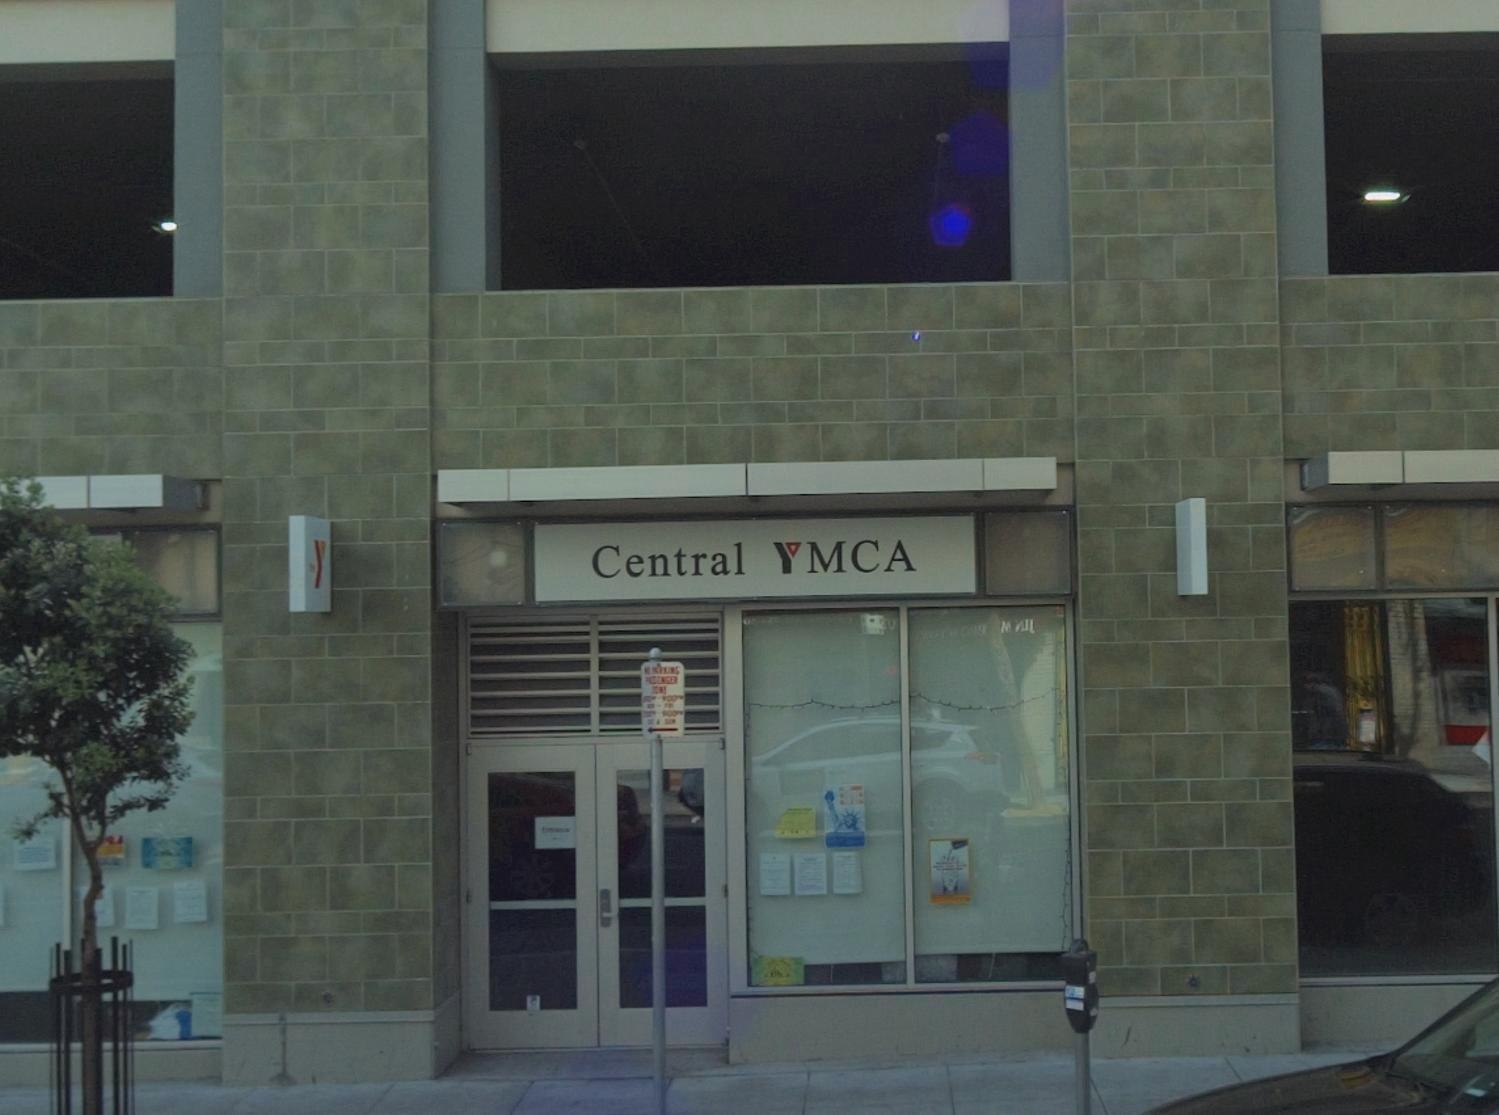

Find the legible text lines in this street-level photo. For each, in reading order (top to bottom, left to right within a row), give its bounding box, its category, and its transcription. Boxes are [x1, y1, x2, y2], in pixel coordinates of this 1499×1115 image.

[590, 538, 923, 580] BusinessName: Central YMCA